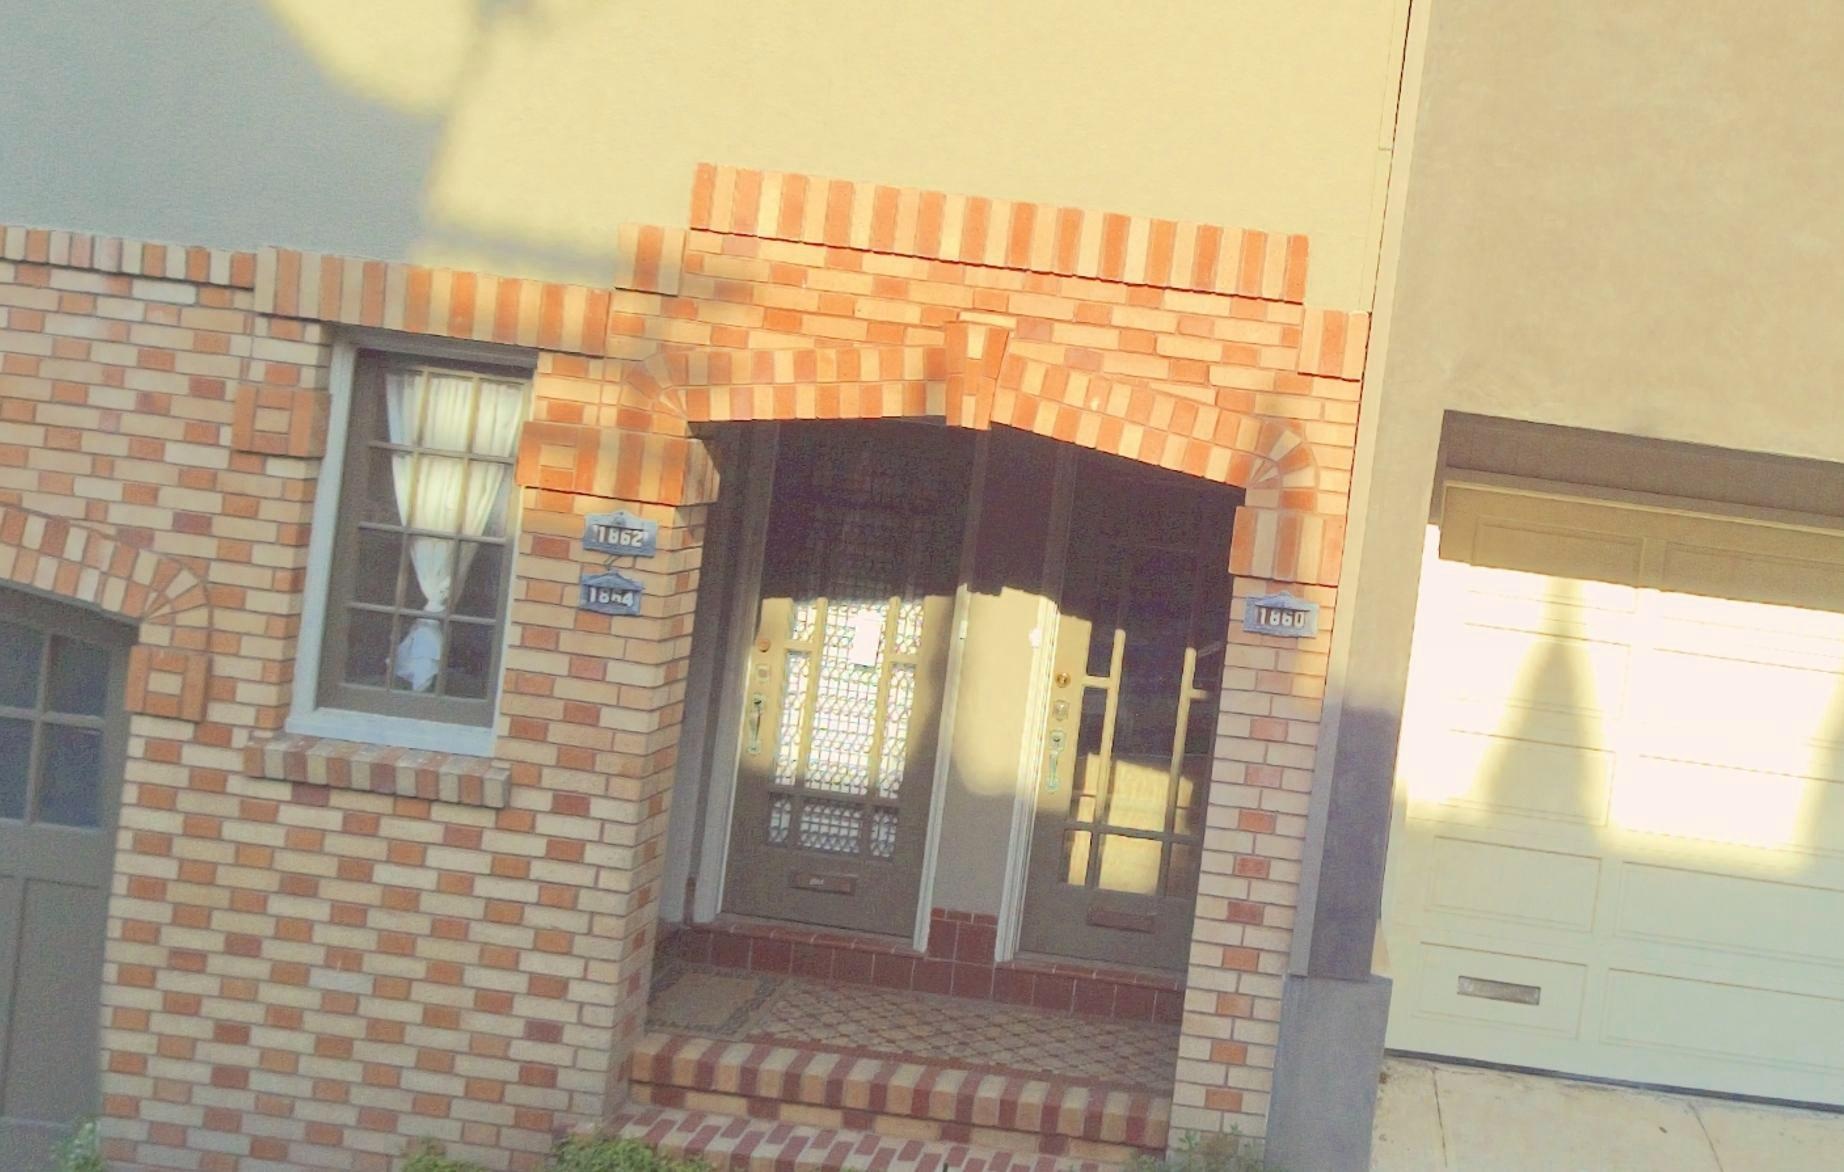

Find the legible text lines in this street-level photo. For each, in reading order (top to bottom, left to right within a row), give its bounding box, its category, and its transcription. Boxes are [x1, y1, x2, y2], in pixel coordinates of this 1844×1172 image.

[596, 524, 646, 549] StreetNumber: 1862
[586, 583, 636, 610] StreetNumber: 1864
[1258, 605, 1308, 631] StreetNumber: 1860